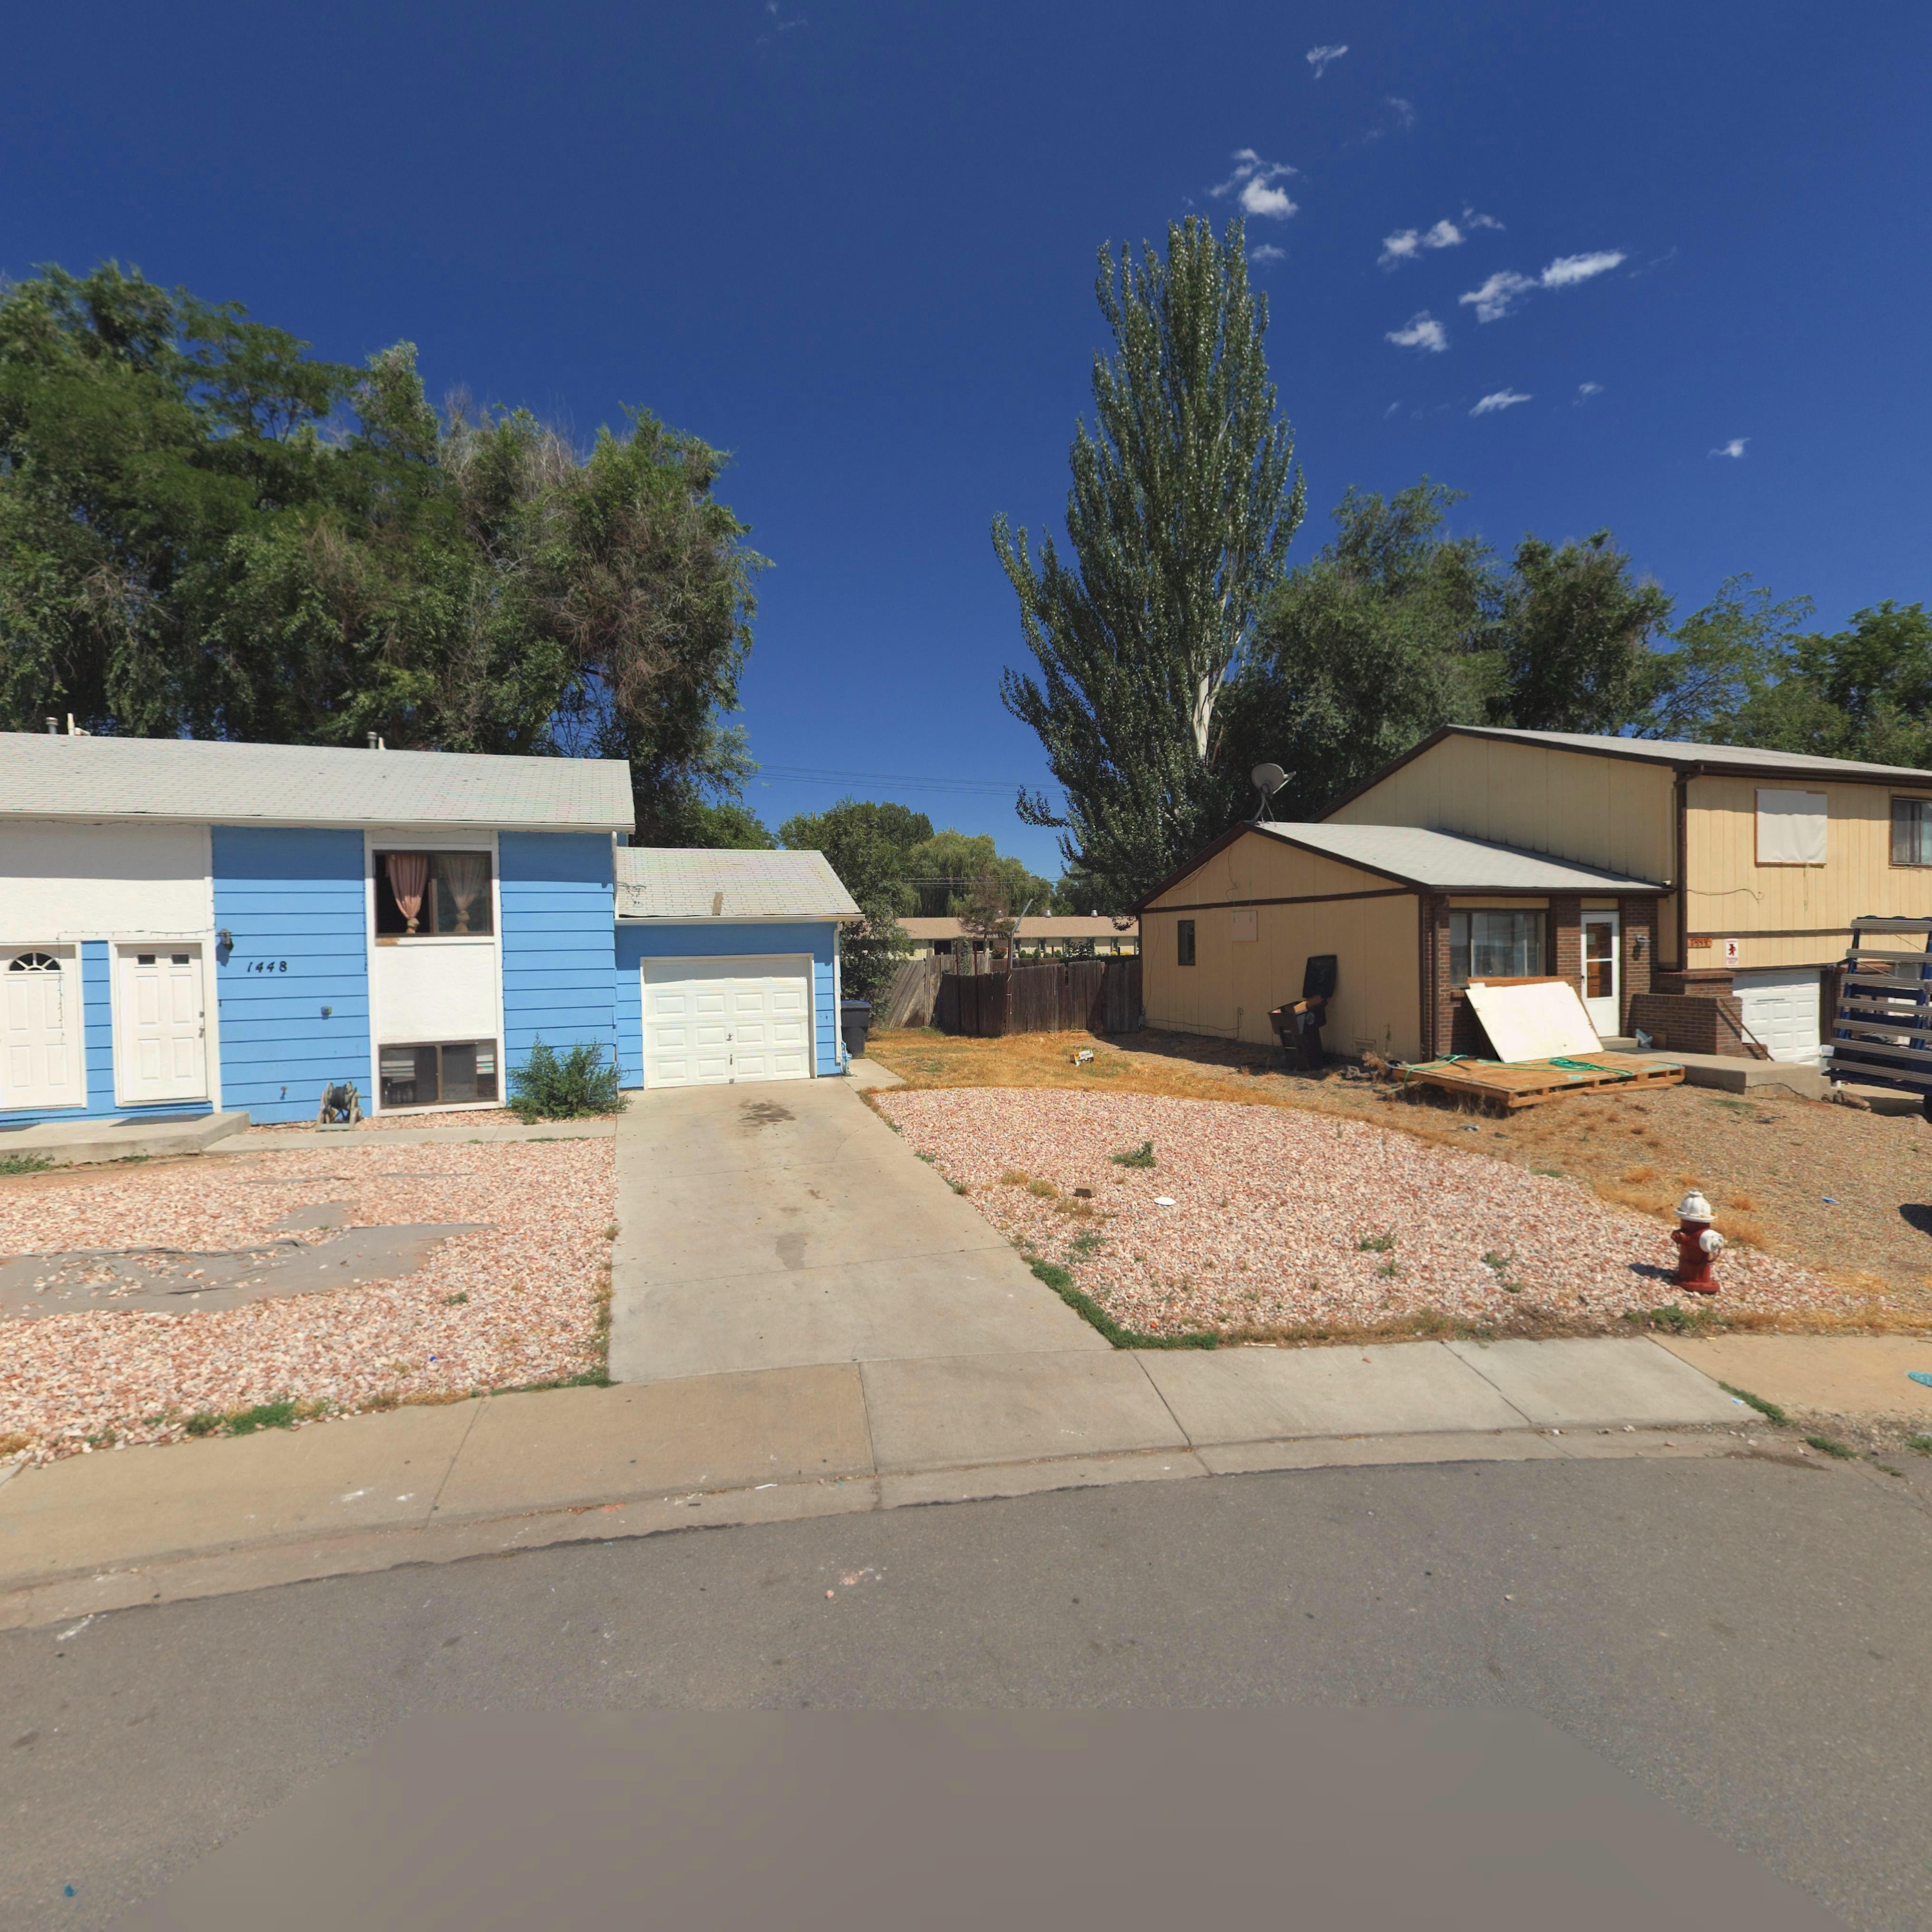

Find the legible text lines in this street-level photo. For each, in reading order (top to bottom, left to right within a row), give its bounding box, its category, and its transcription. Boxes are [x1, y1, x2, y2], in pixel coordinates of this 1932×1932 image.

[1690, 938, 1708, 947] StreetNumber: 144*
[246, 960, 287, 973] StreetNumber: 1448